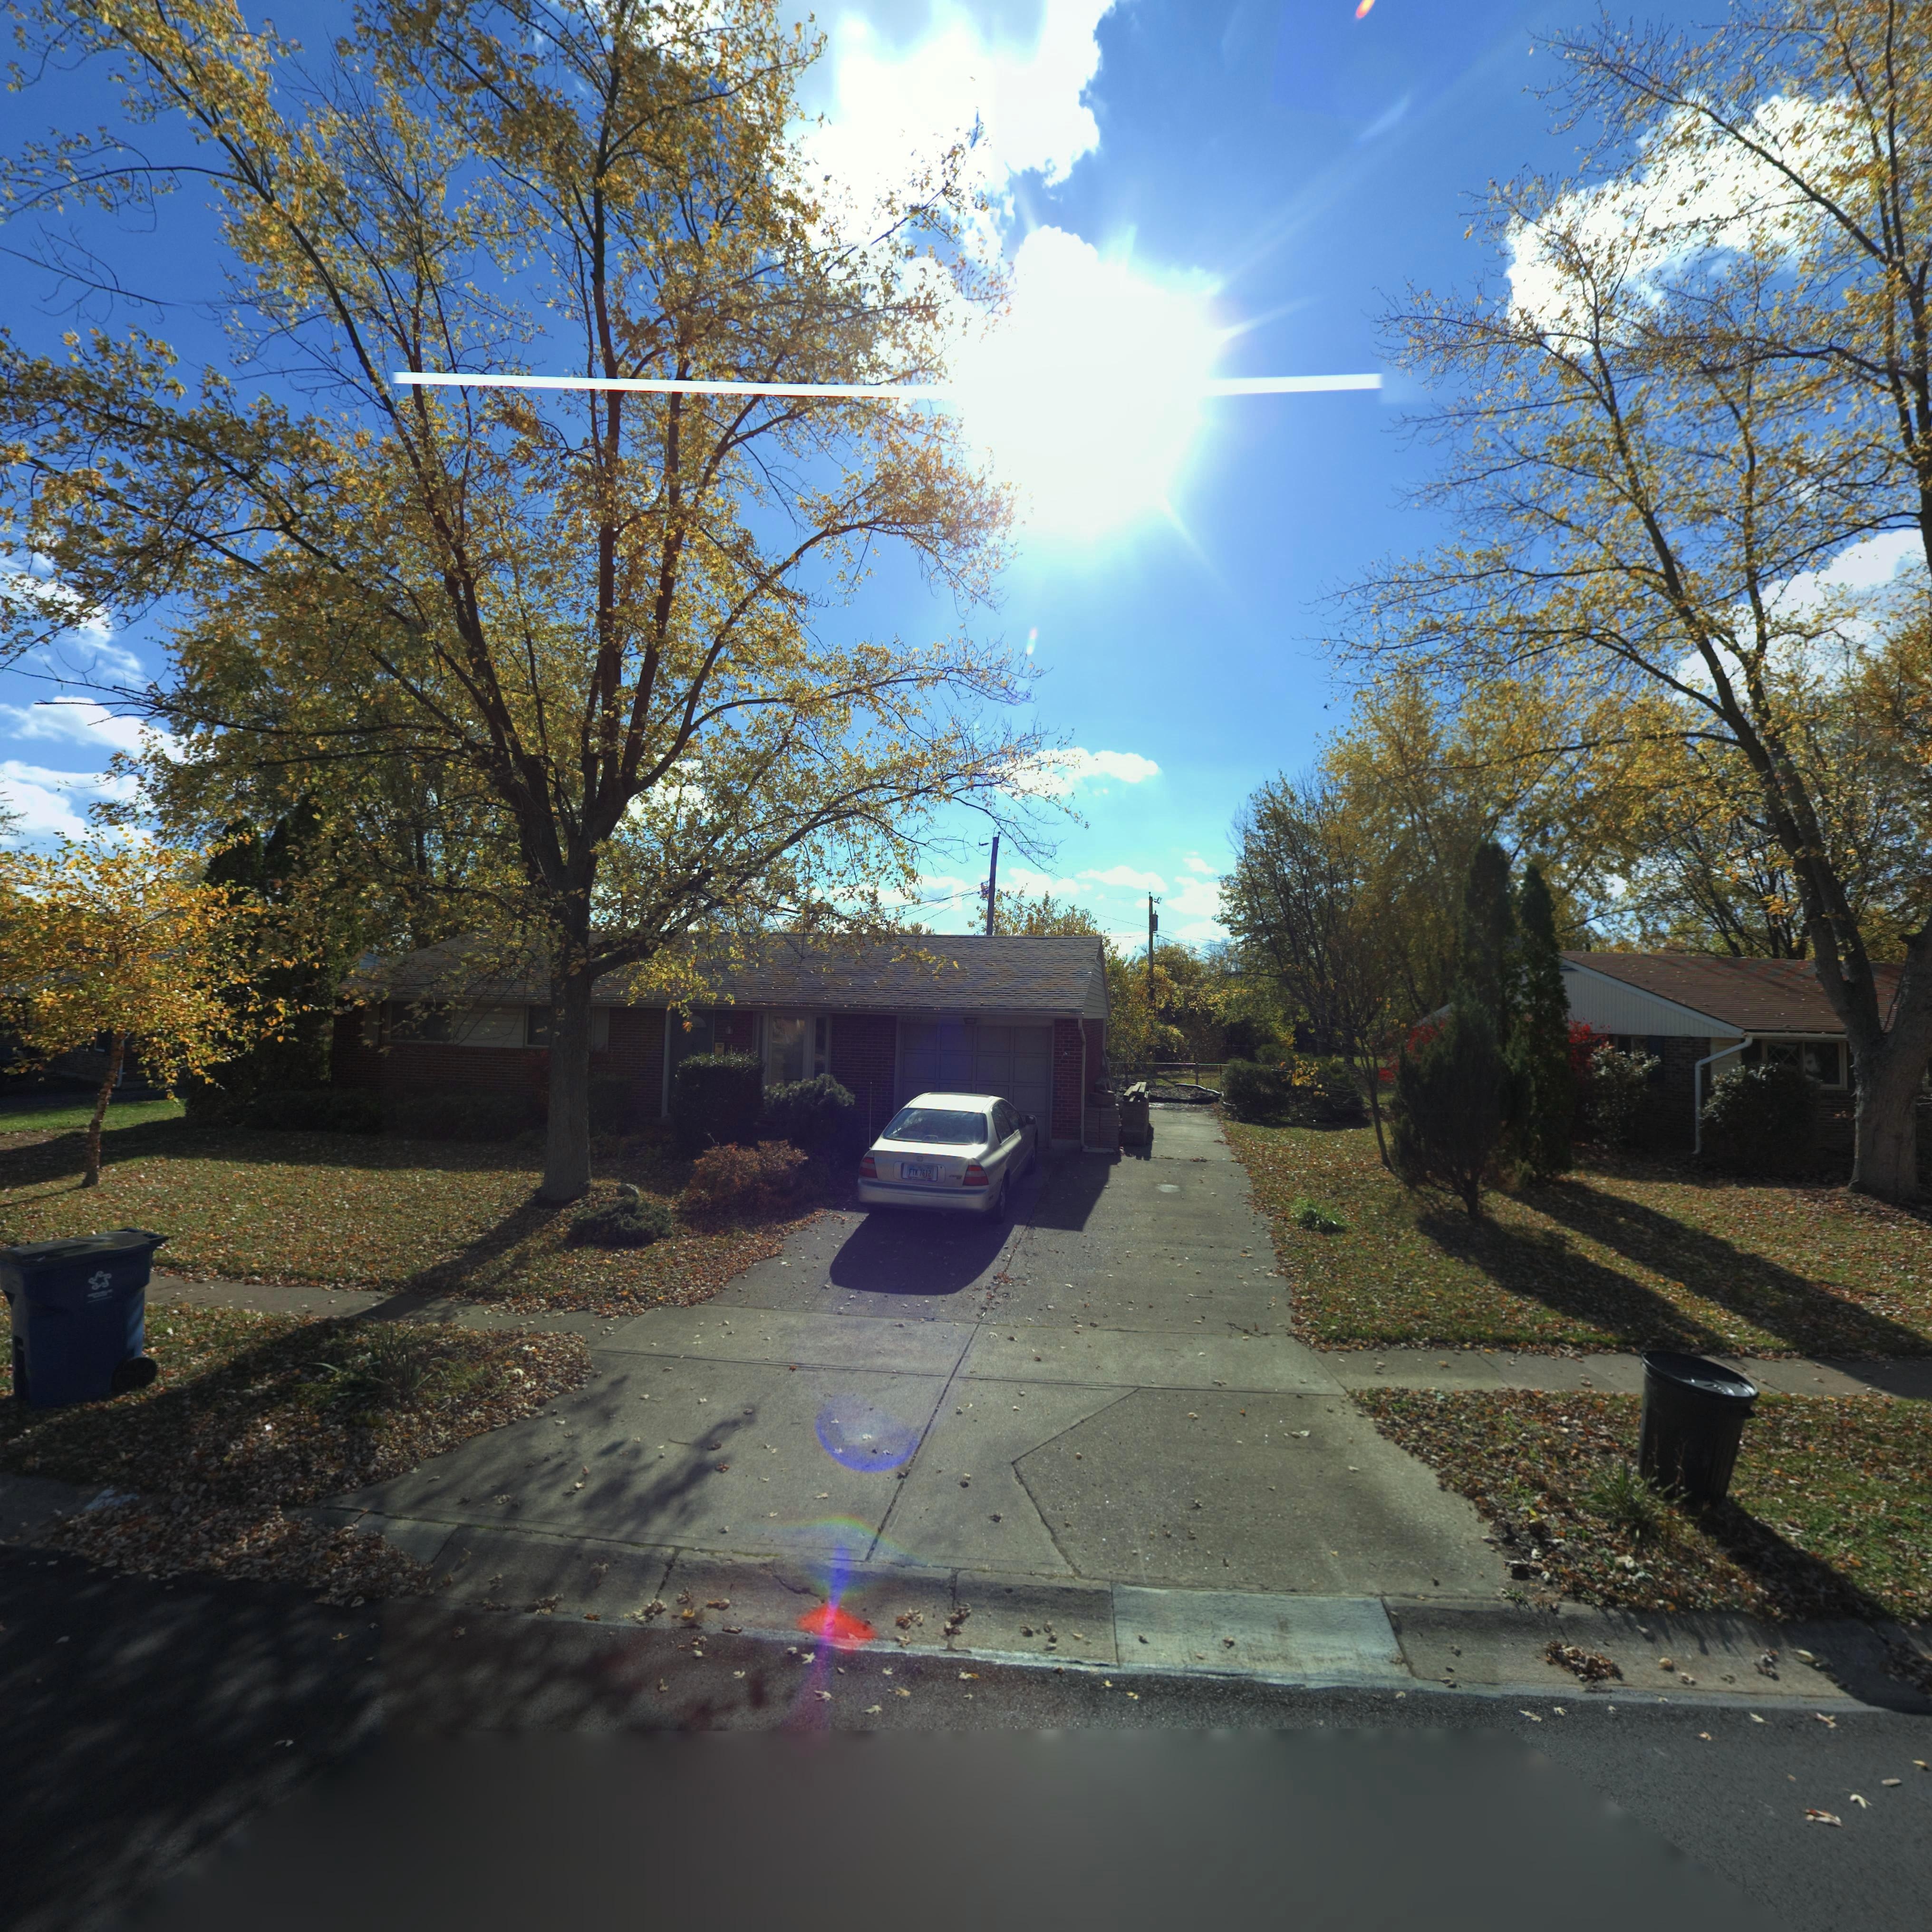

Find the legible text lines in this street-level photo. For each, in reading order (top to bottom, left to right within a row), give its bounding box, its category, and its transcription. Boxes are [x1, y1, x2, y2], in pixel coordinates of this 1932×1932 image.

[900, 1014, 923, 1022] StreetNumber: *0*0